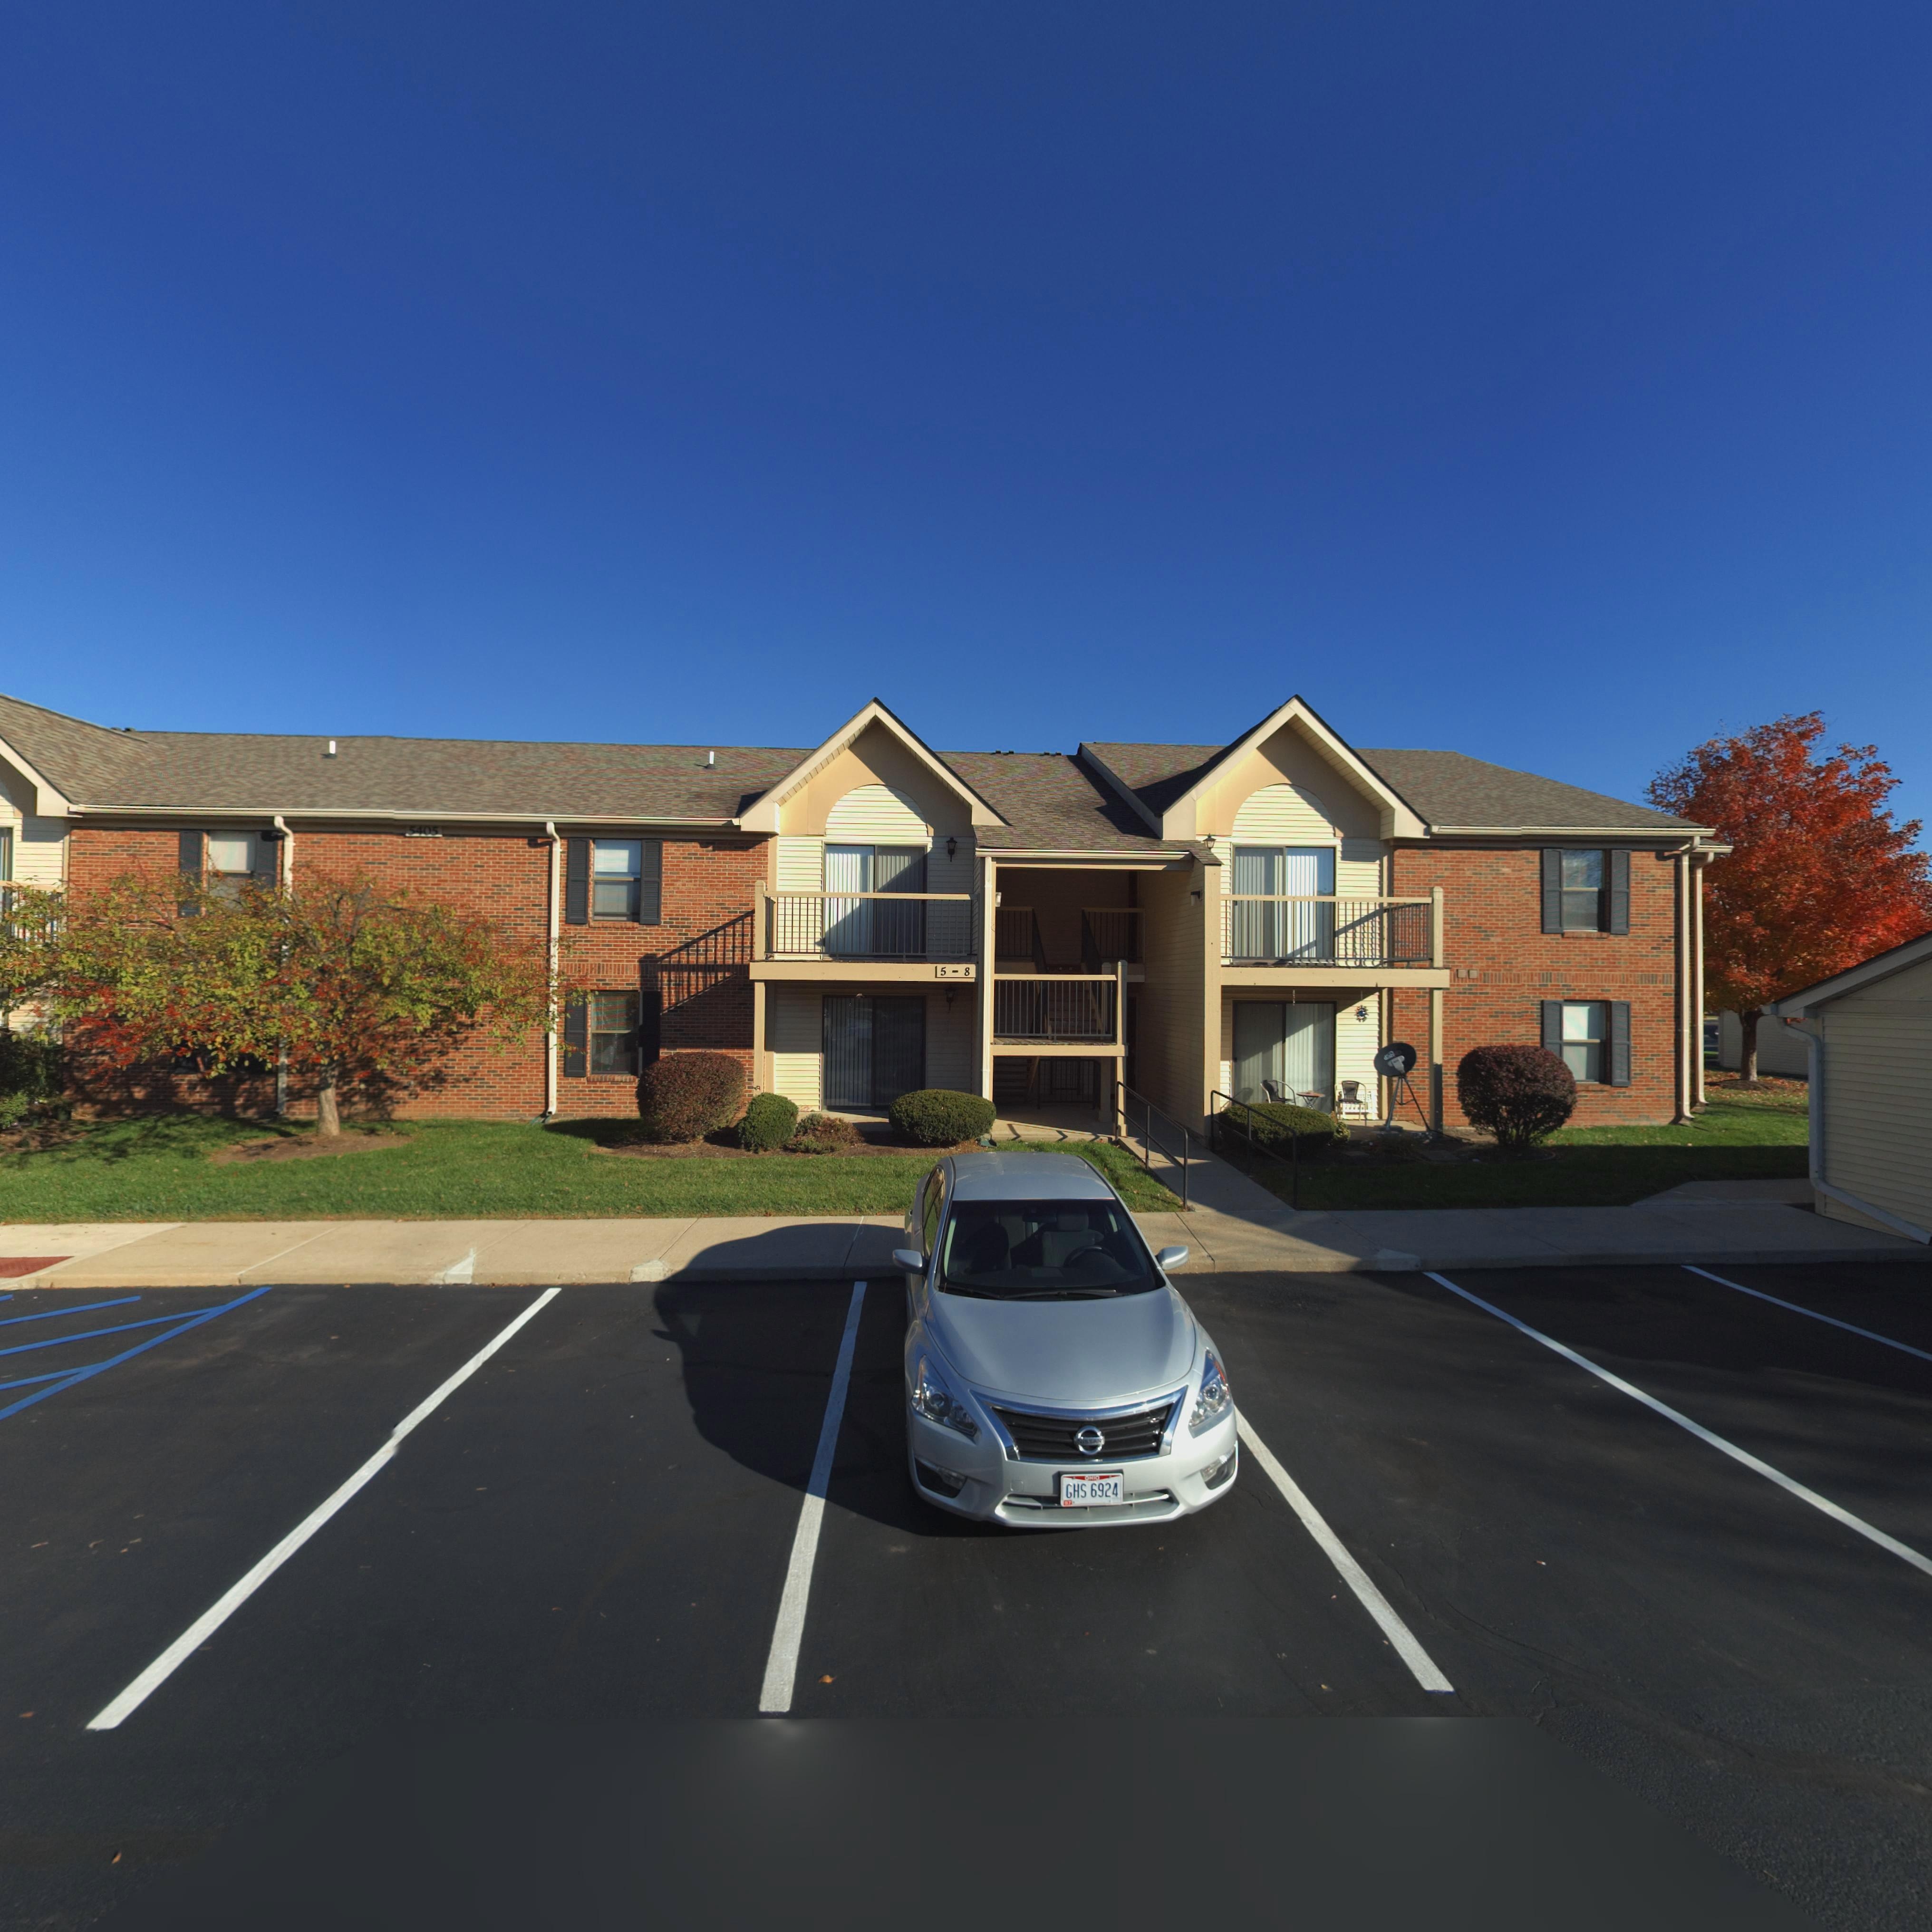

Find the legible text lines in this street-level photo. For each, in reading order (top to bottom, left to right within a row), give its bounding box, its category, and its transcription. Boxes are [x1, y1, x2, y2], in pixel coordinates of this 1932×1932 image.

[940, 966, 970, 976] StreetNumber: 5-8